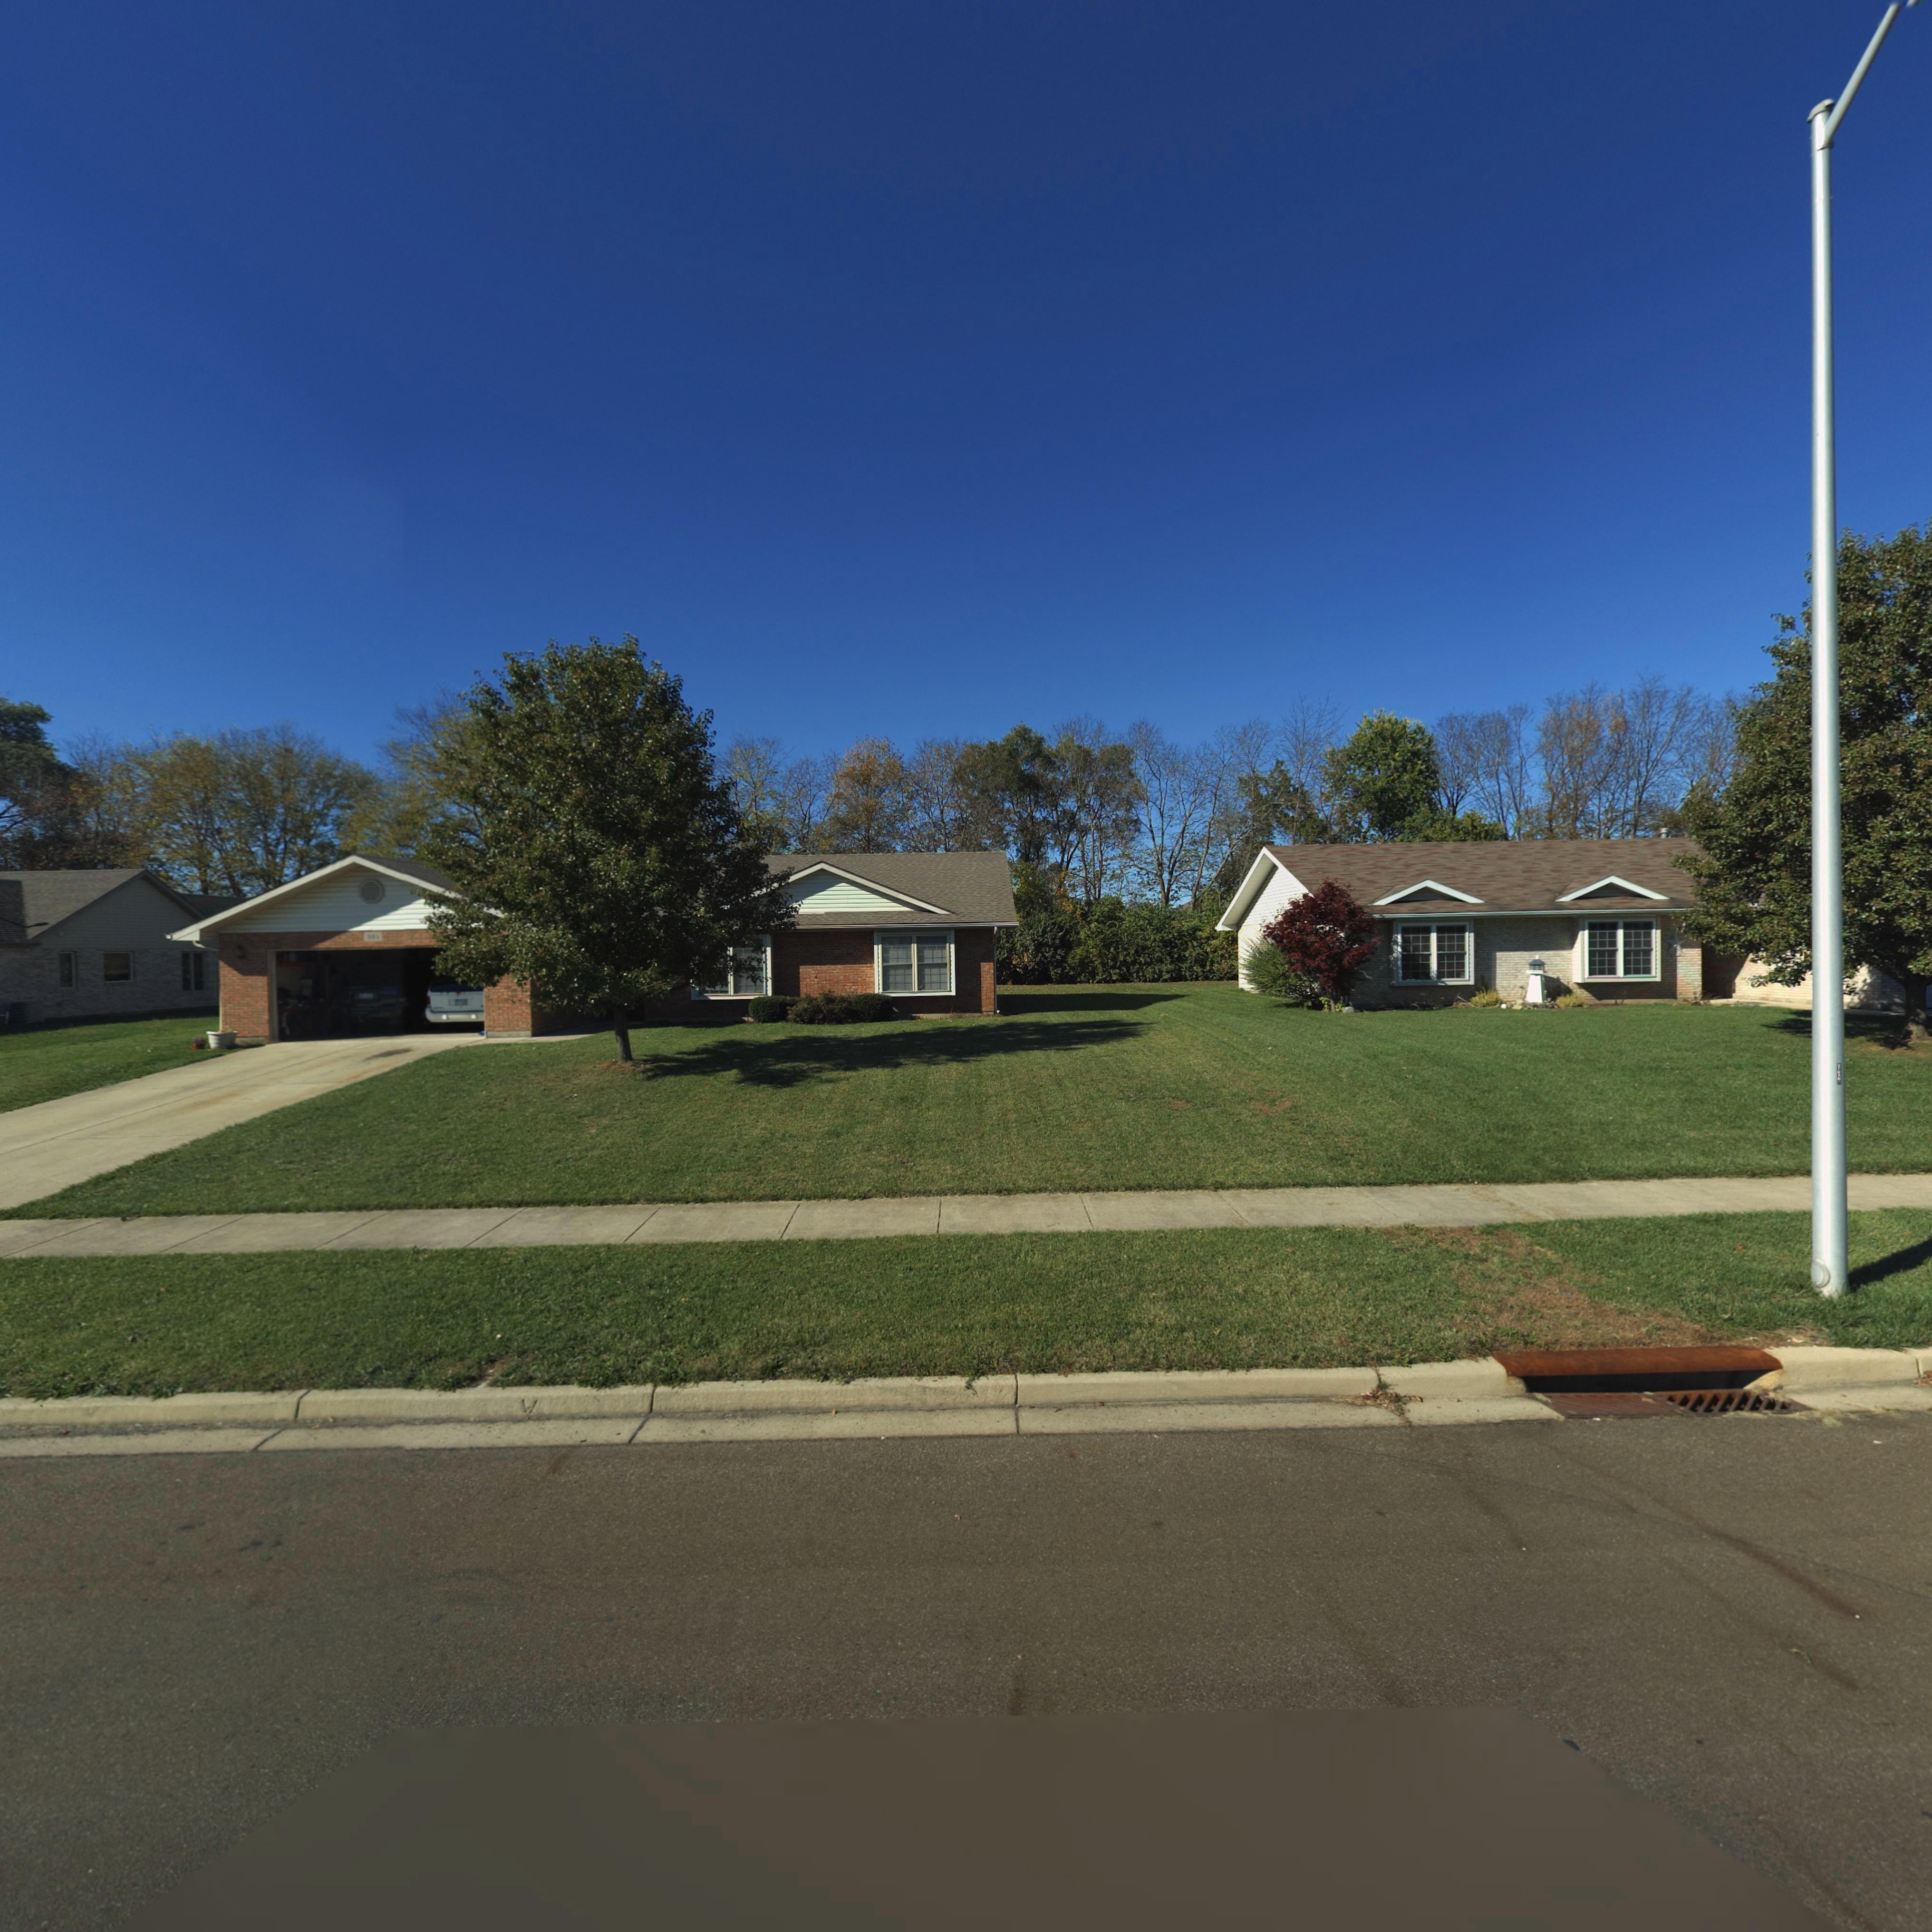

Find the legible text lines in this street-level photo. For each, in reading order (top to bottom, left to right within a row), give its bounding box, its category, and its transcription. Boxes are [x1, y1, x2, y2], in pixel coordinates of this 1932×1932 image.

[366, 933, 380, 939] StreetNumber: 381